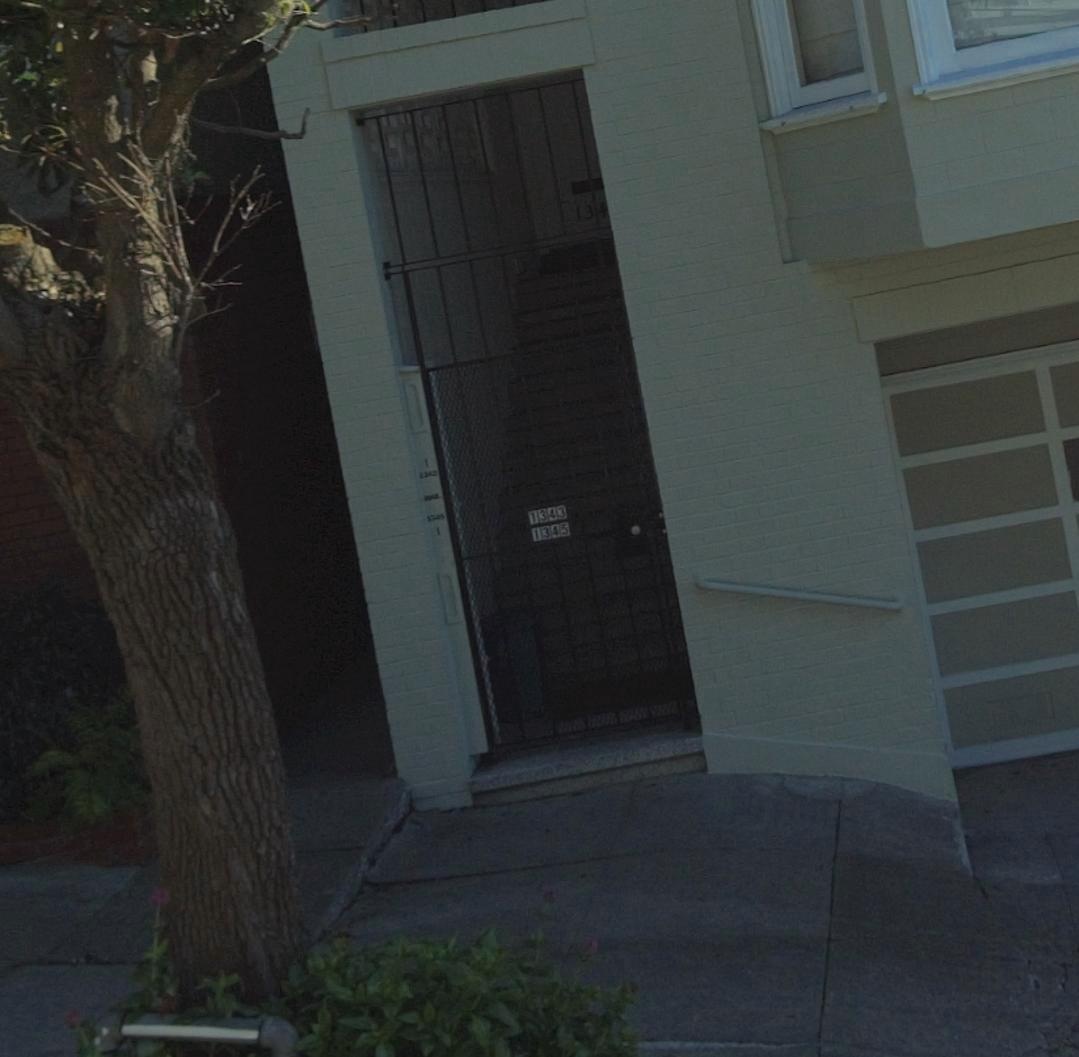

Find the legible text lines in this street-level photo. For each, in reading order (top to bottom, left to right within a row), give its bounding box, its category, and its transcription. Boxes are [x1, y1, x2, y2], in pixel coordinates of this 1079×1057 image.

[417, 469, 440, 480] StreetNumber: 1343
[422, 492, 440, 503] StreetNumber: 1344
[426, 512, 446, 524] StreetNumber: 1345
[527, 505, 568, 525] StreetNumber: 1343
[531, 522, 571, 542] StreetNumber: 1345